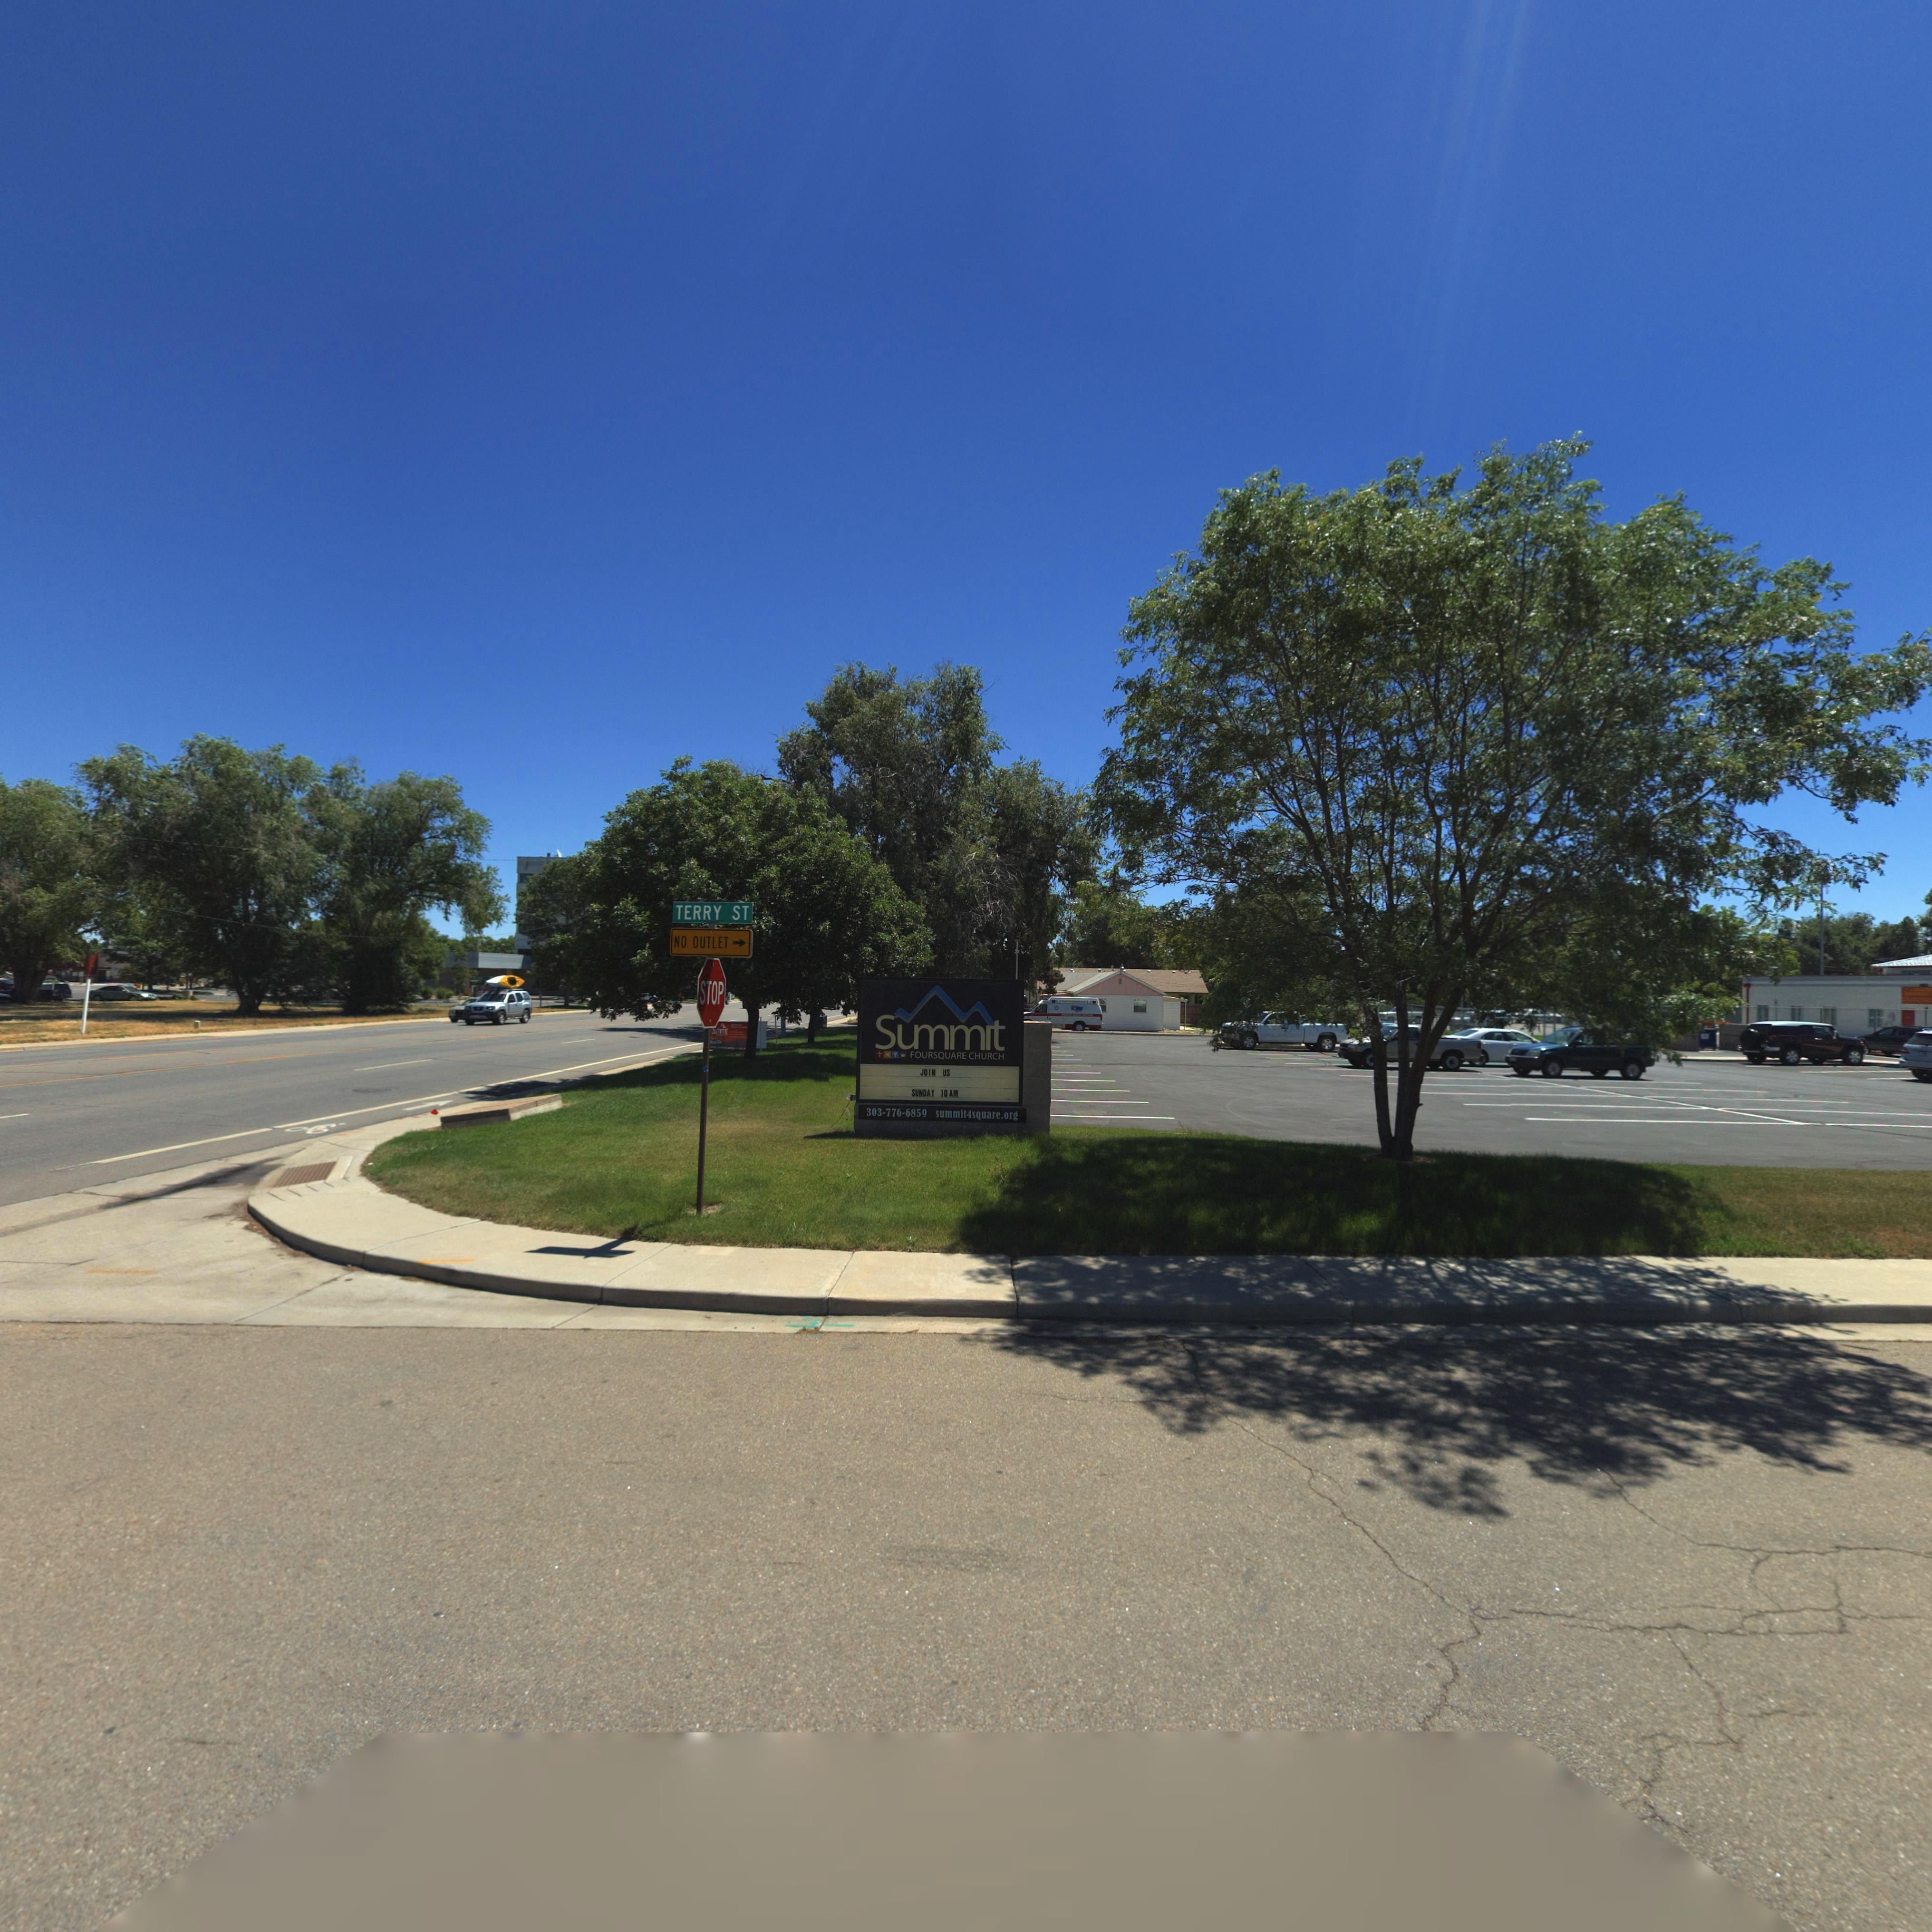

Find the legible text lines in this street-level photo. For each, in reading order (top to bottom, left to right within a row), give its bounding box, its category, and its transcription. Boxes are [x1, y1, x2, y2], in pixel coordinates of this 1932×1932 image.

[675, 904, 751, 921] StreetName: TERRY ST
[711, 1027, 728, 1034] BusinessName: Summ**
[873, 1014, 1006, 1051] BusinessName: Summit
[908, 1051, 1005, 1061] BusinessName: FOURSQUARE CHURCH